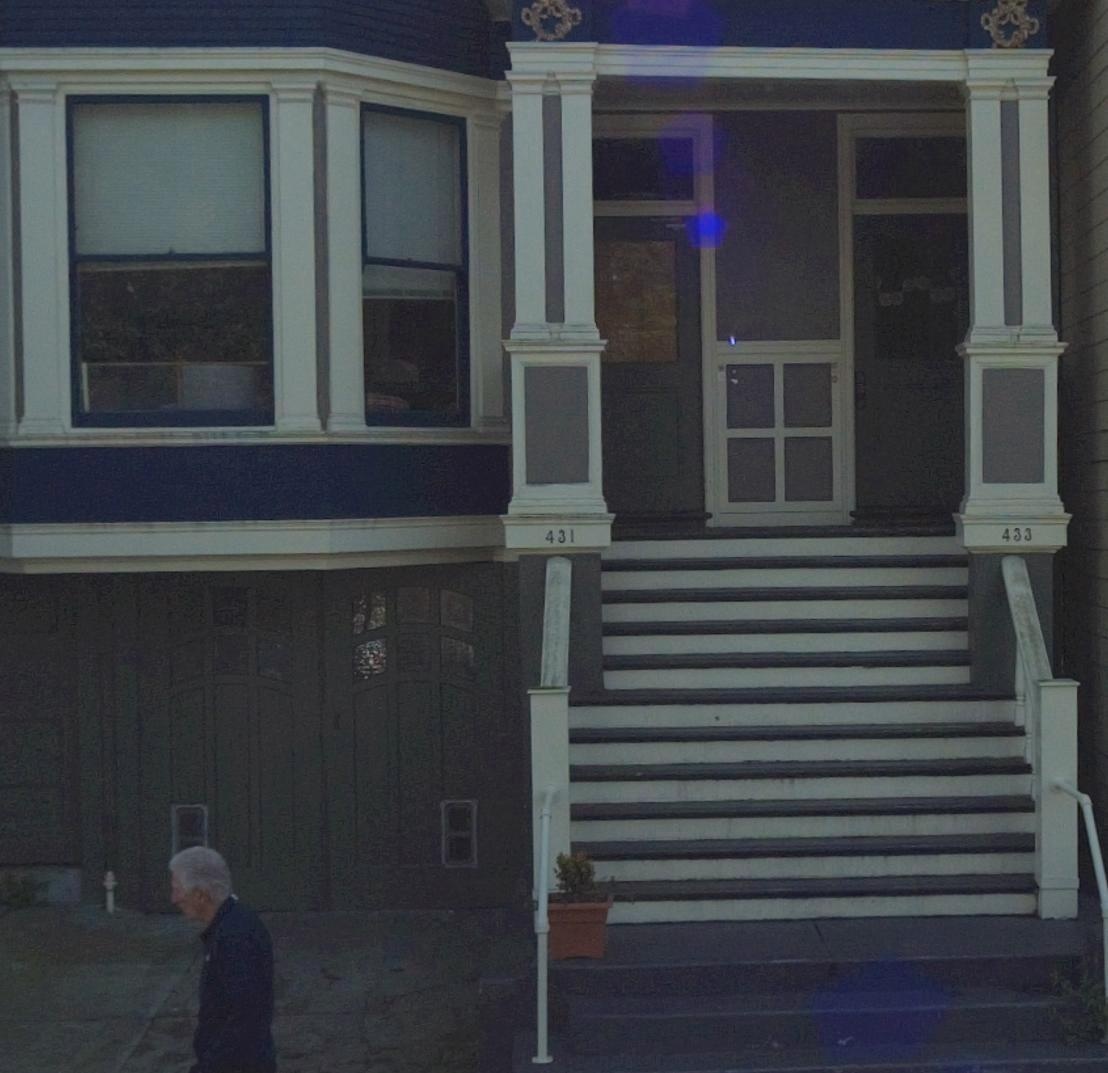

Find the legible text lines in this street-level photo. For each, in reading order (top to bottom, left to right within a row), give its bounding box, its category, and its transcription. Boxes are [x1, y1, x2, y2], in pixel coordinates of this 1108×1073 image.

[543, 526, 576, 546] StreetNumber: 431
[1000, 525, 1034, 544] StreetNumber: 433